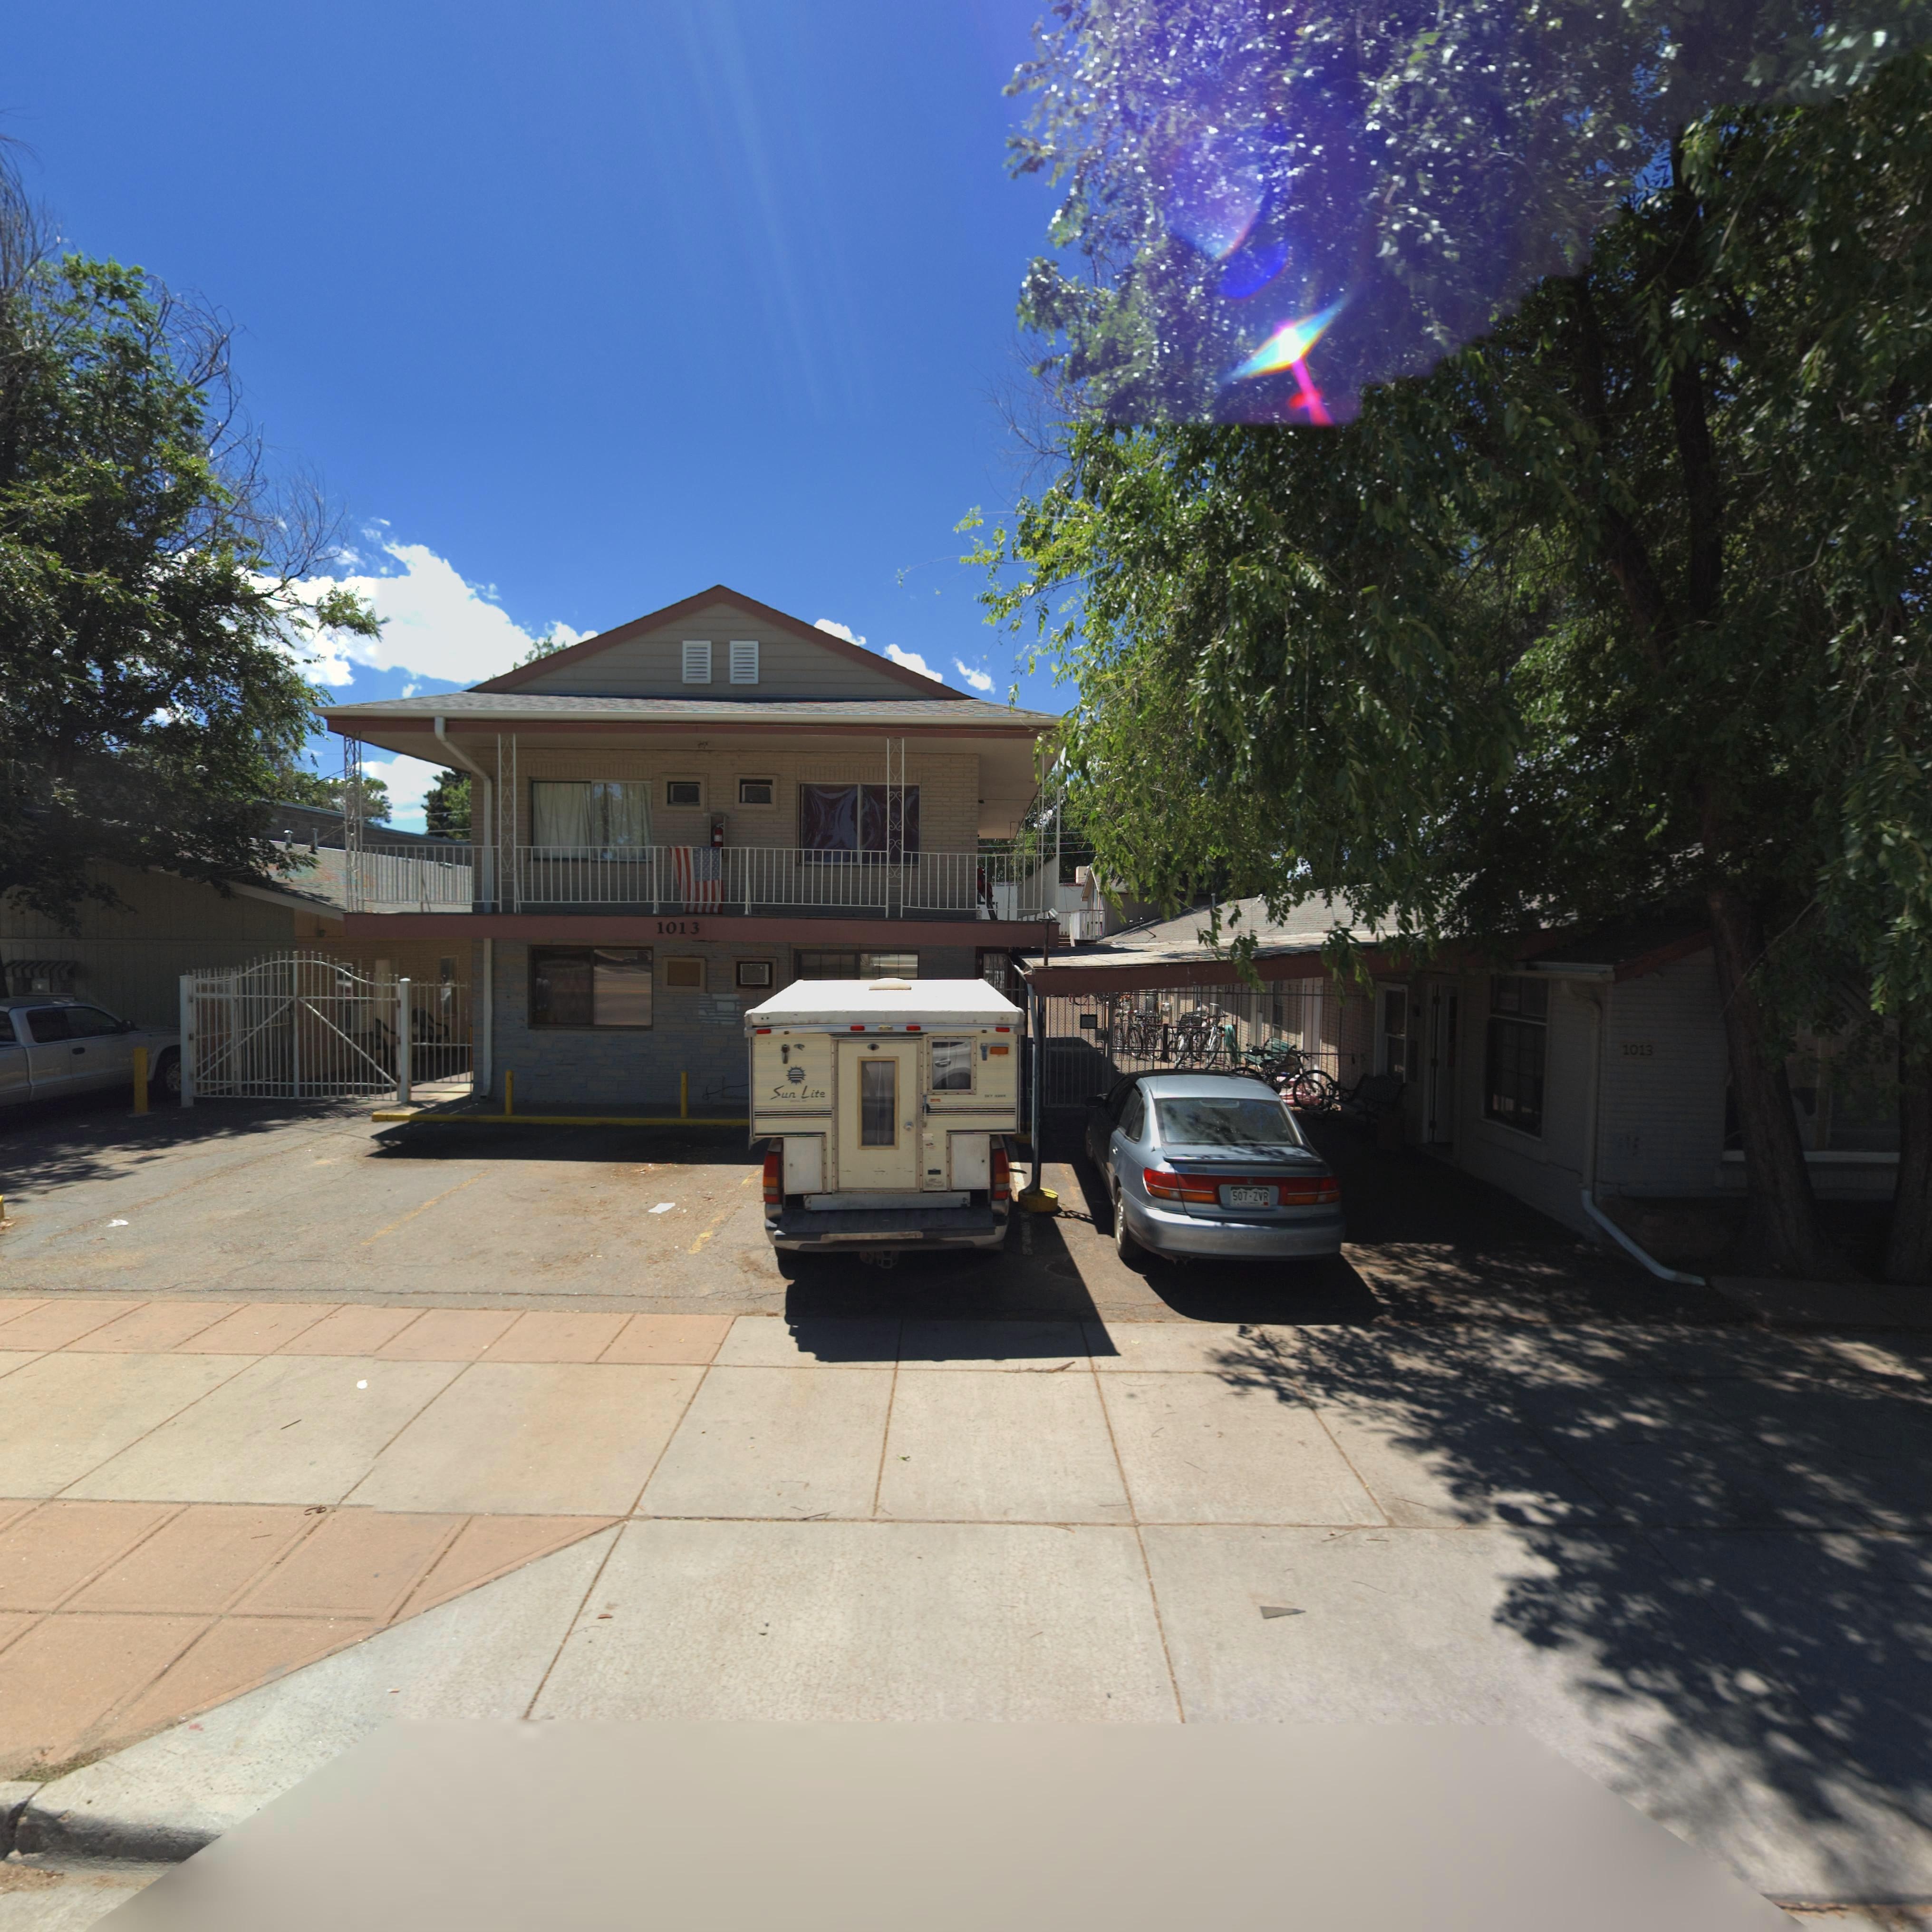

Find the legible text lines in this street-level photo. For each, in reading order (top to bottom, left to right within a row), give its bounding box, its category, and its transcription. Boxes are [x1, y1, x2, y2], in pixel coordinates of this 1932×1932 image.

[657, 921, 700, 935] StreetNumber: 1013
[1622, 1043, 1654, 1056] StreetNumber: 1013